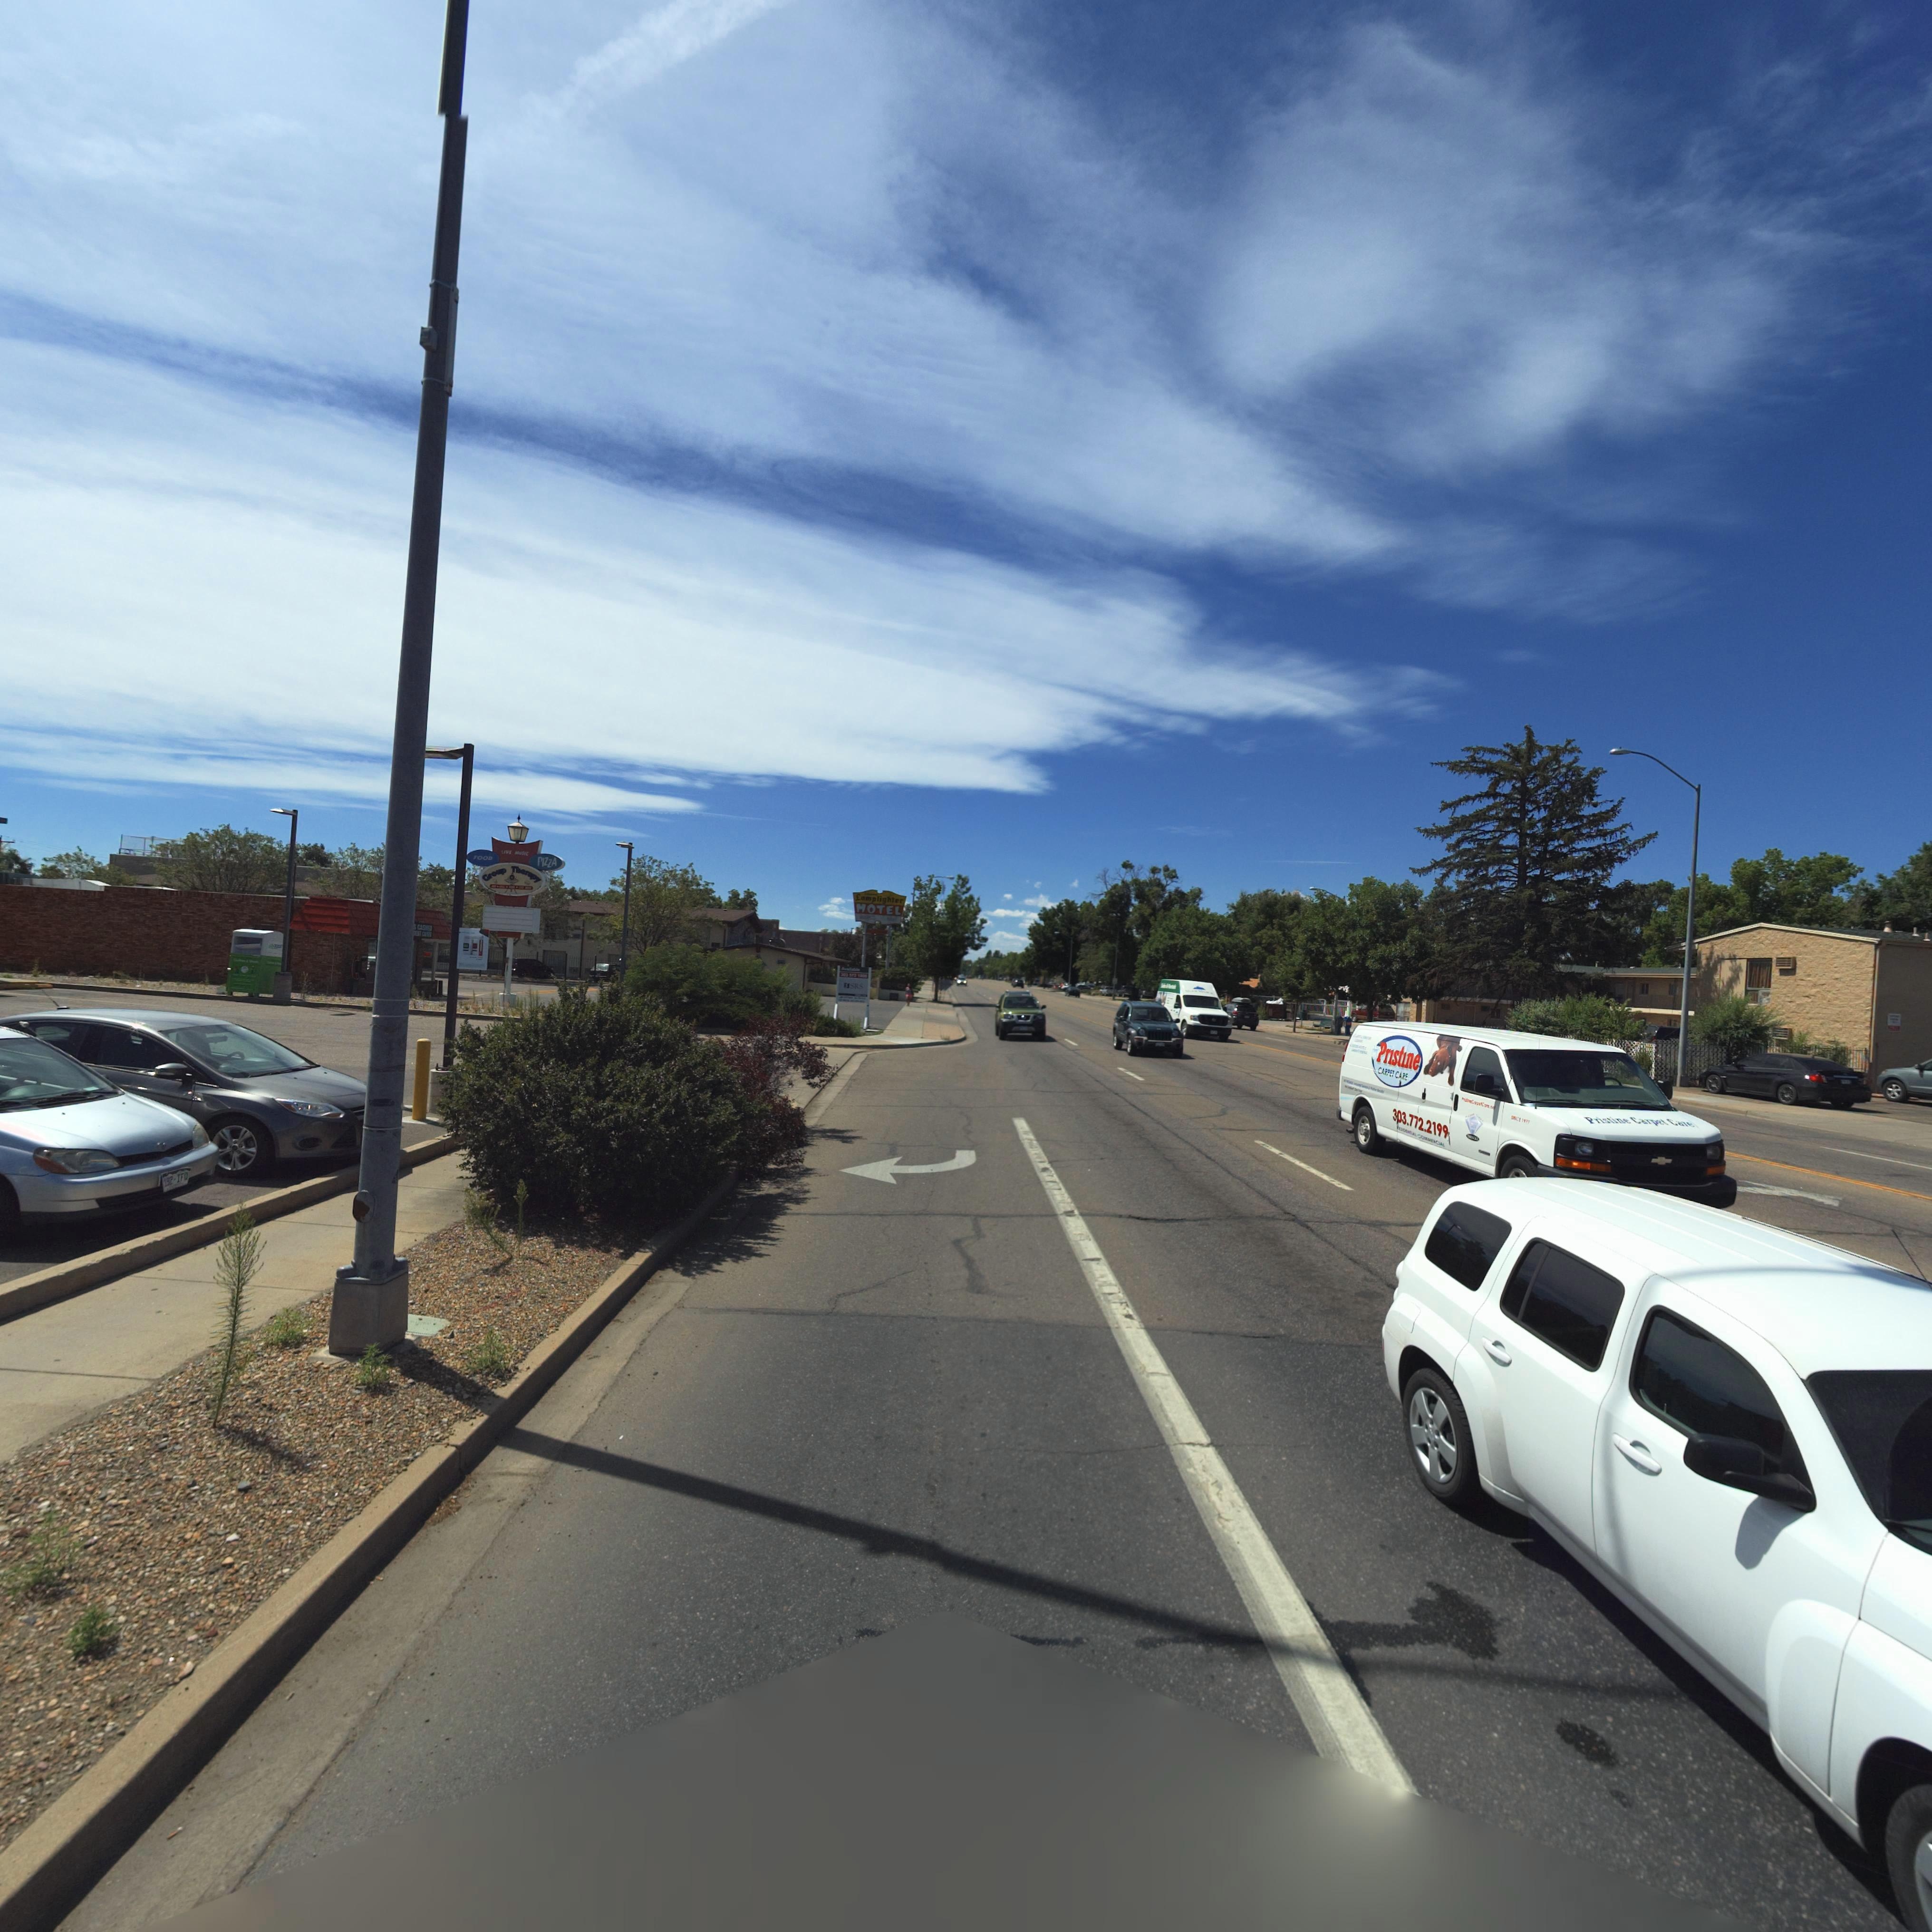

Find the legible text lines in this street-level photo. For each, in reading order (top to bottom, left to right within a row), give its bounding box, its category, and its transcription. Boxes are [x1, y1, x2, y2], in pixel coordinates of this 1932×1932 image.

[481, 865, 542, 883] BusinessName: Gro*p T*e***y
[854, 893, 904, 904] BusinessName: Lamplighter
[856, 903, 901, 915] BusinessName: MOTEL